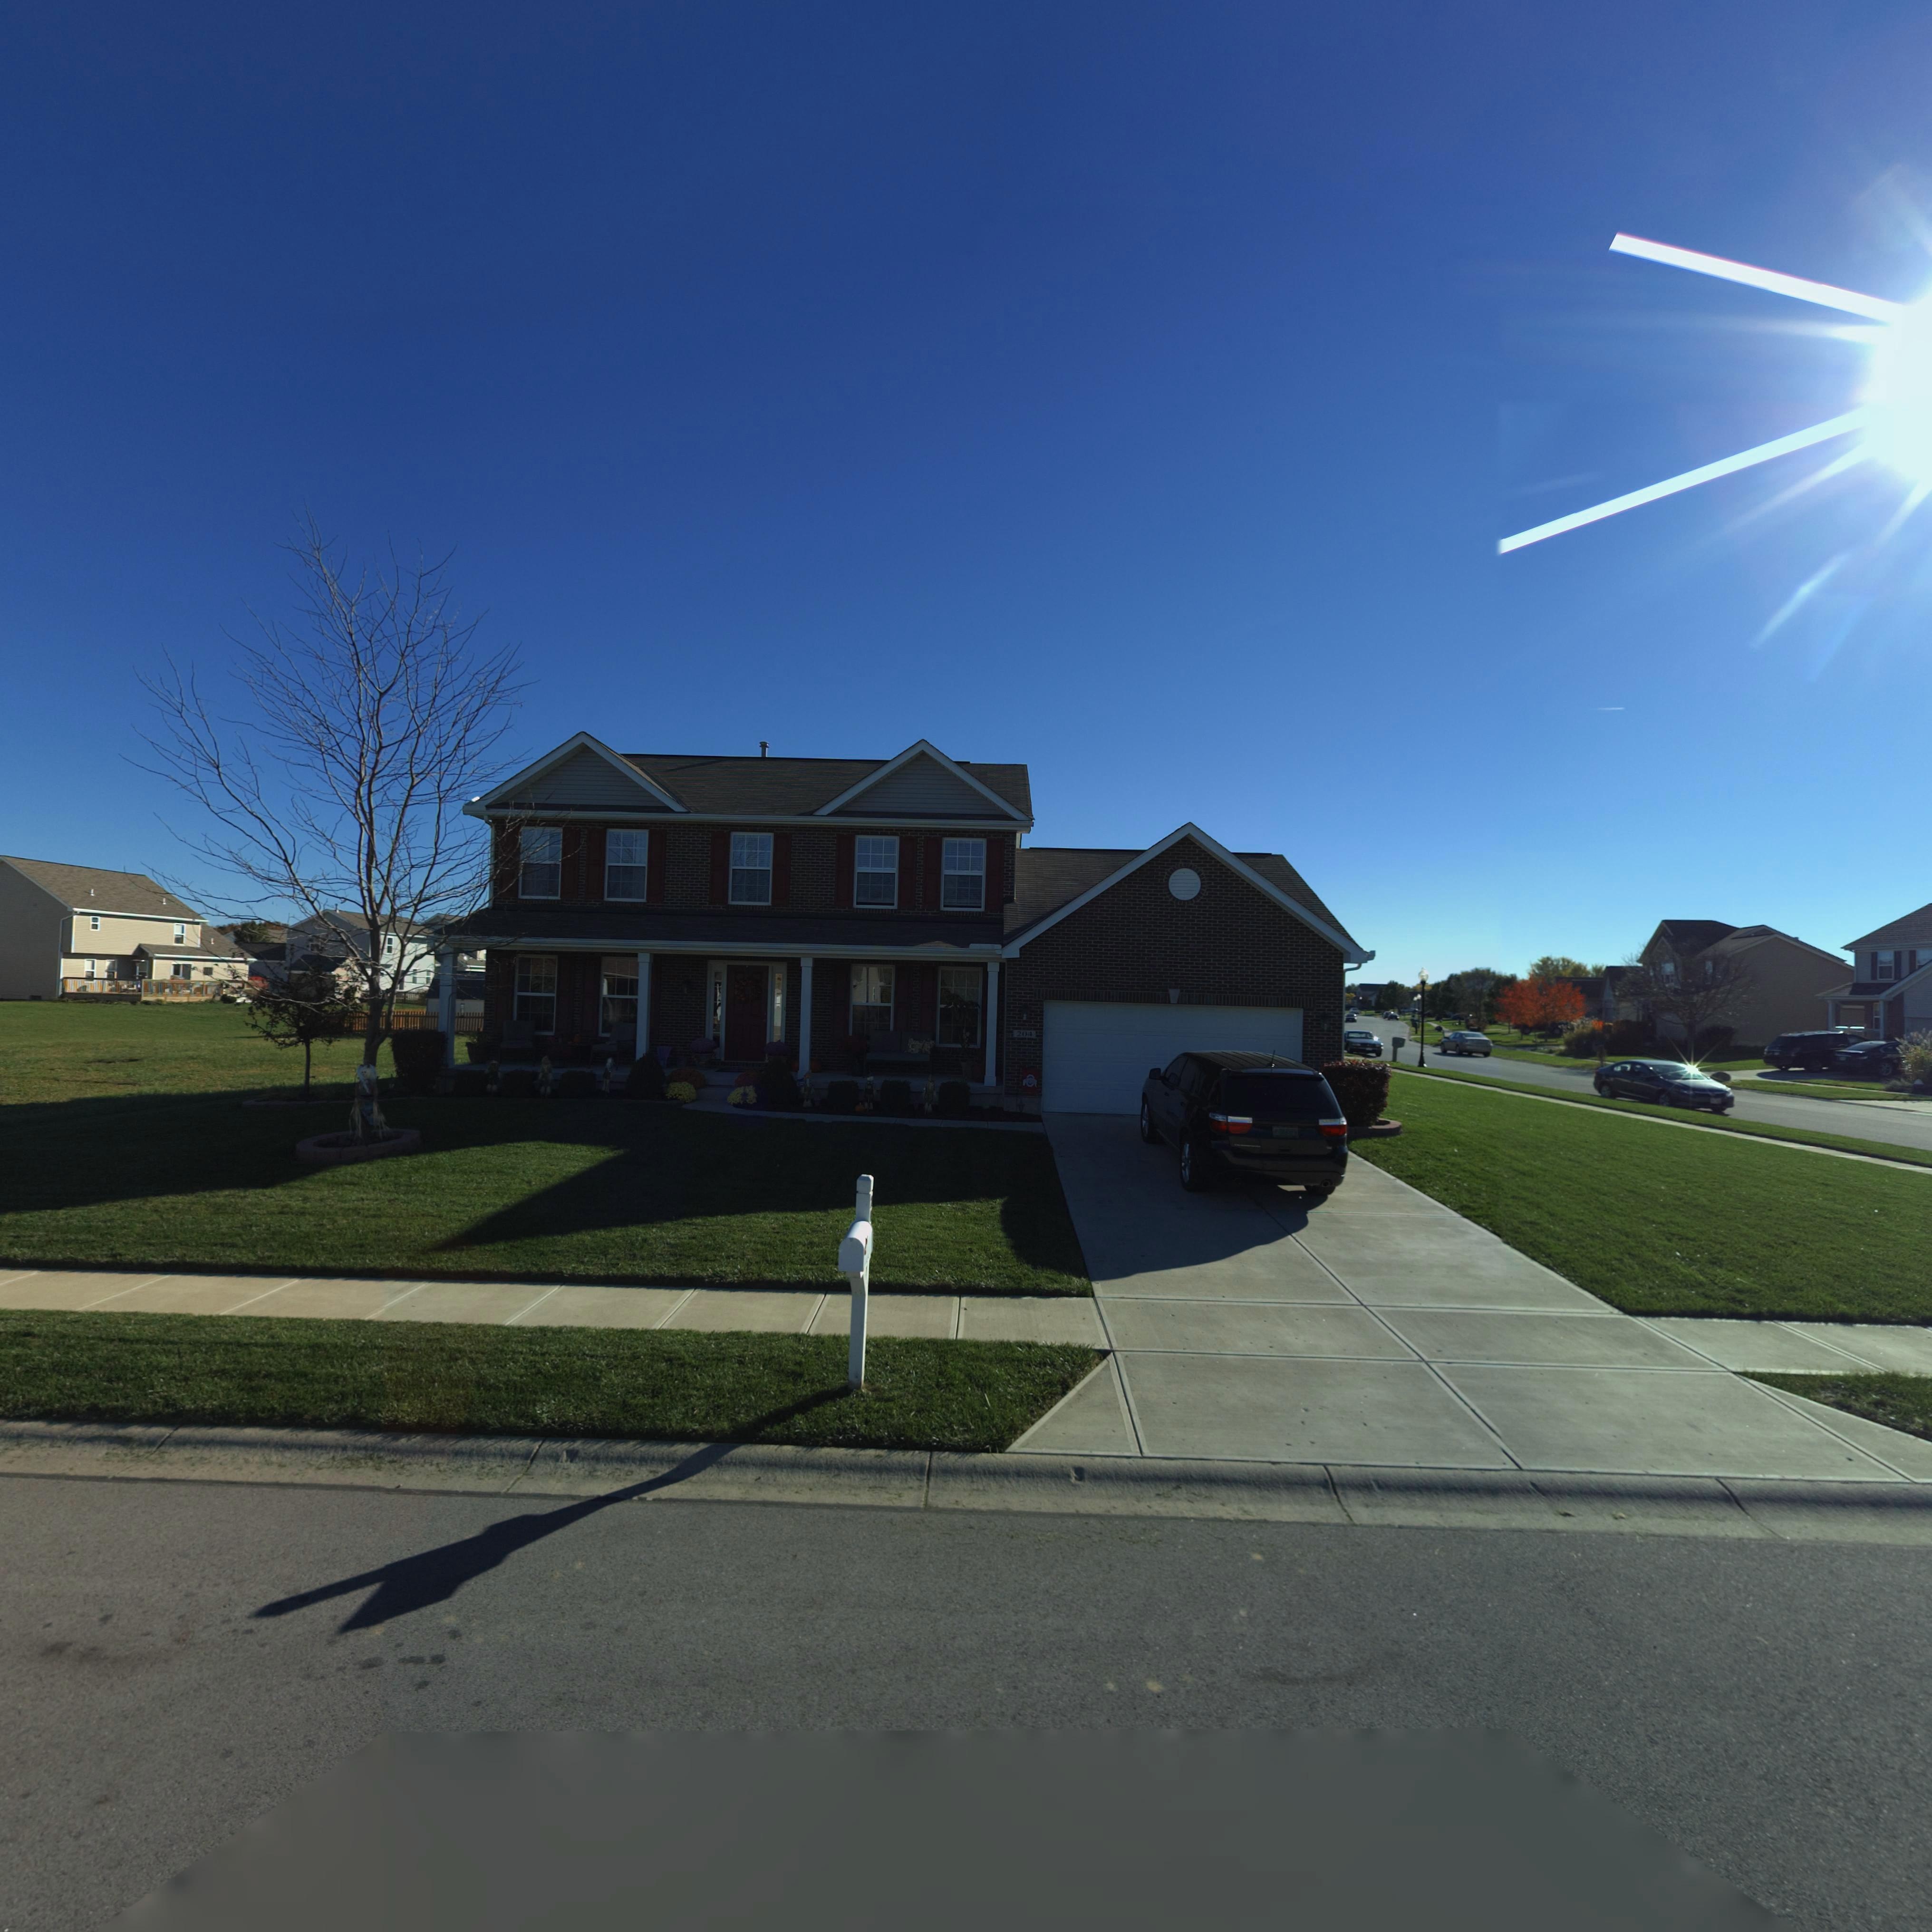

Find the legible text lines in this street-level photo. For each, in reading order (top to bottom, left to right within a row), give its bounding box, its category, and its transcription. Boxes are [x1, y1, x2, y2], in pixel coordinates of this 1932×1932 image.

[1015, 1030, 1034, 1037] StreetNumber: 204